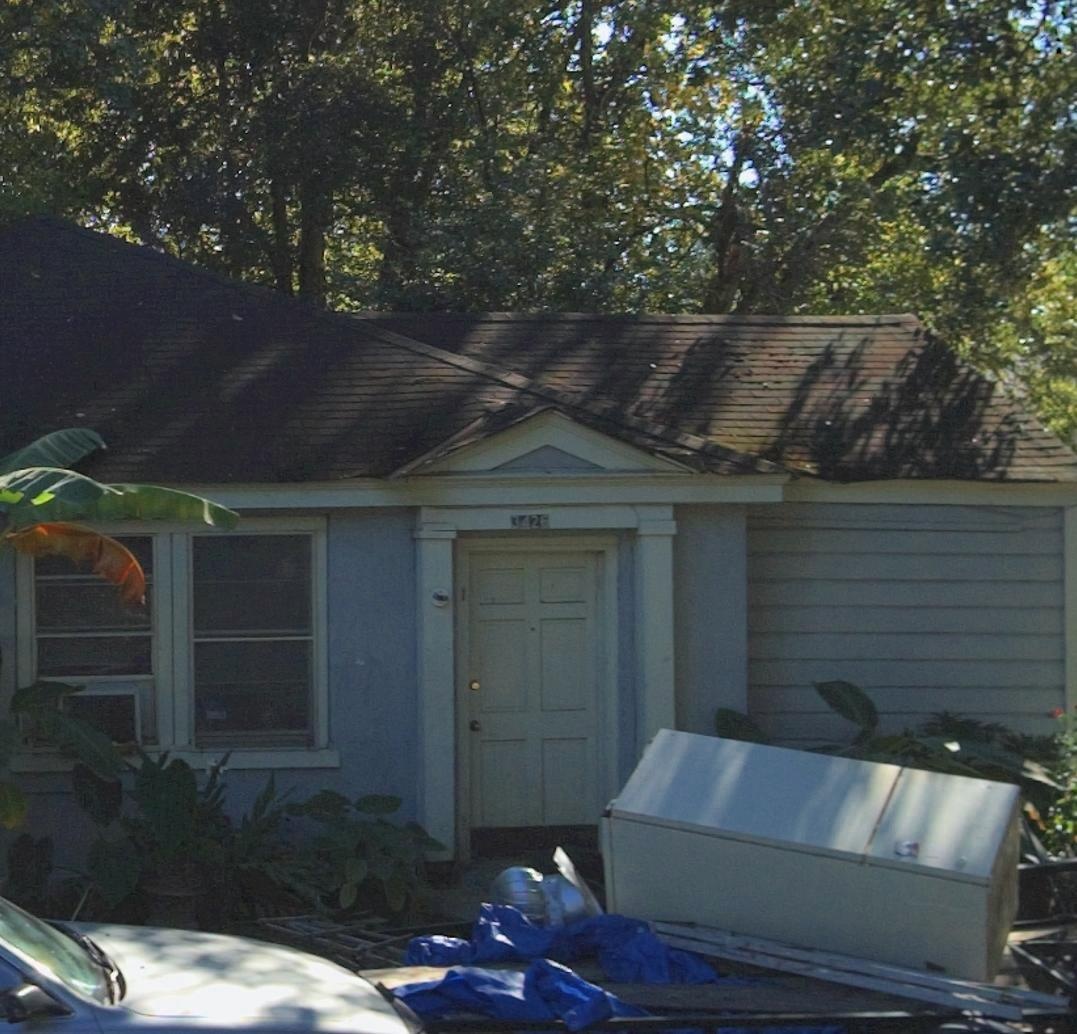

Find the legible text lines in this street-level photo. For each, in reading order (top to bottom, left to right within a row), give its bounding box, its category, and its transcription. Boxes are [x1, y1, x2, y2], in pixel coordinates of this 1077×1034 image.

[510, 513, 550, 531] StreetNumber: 3426